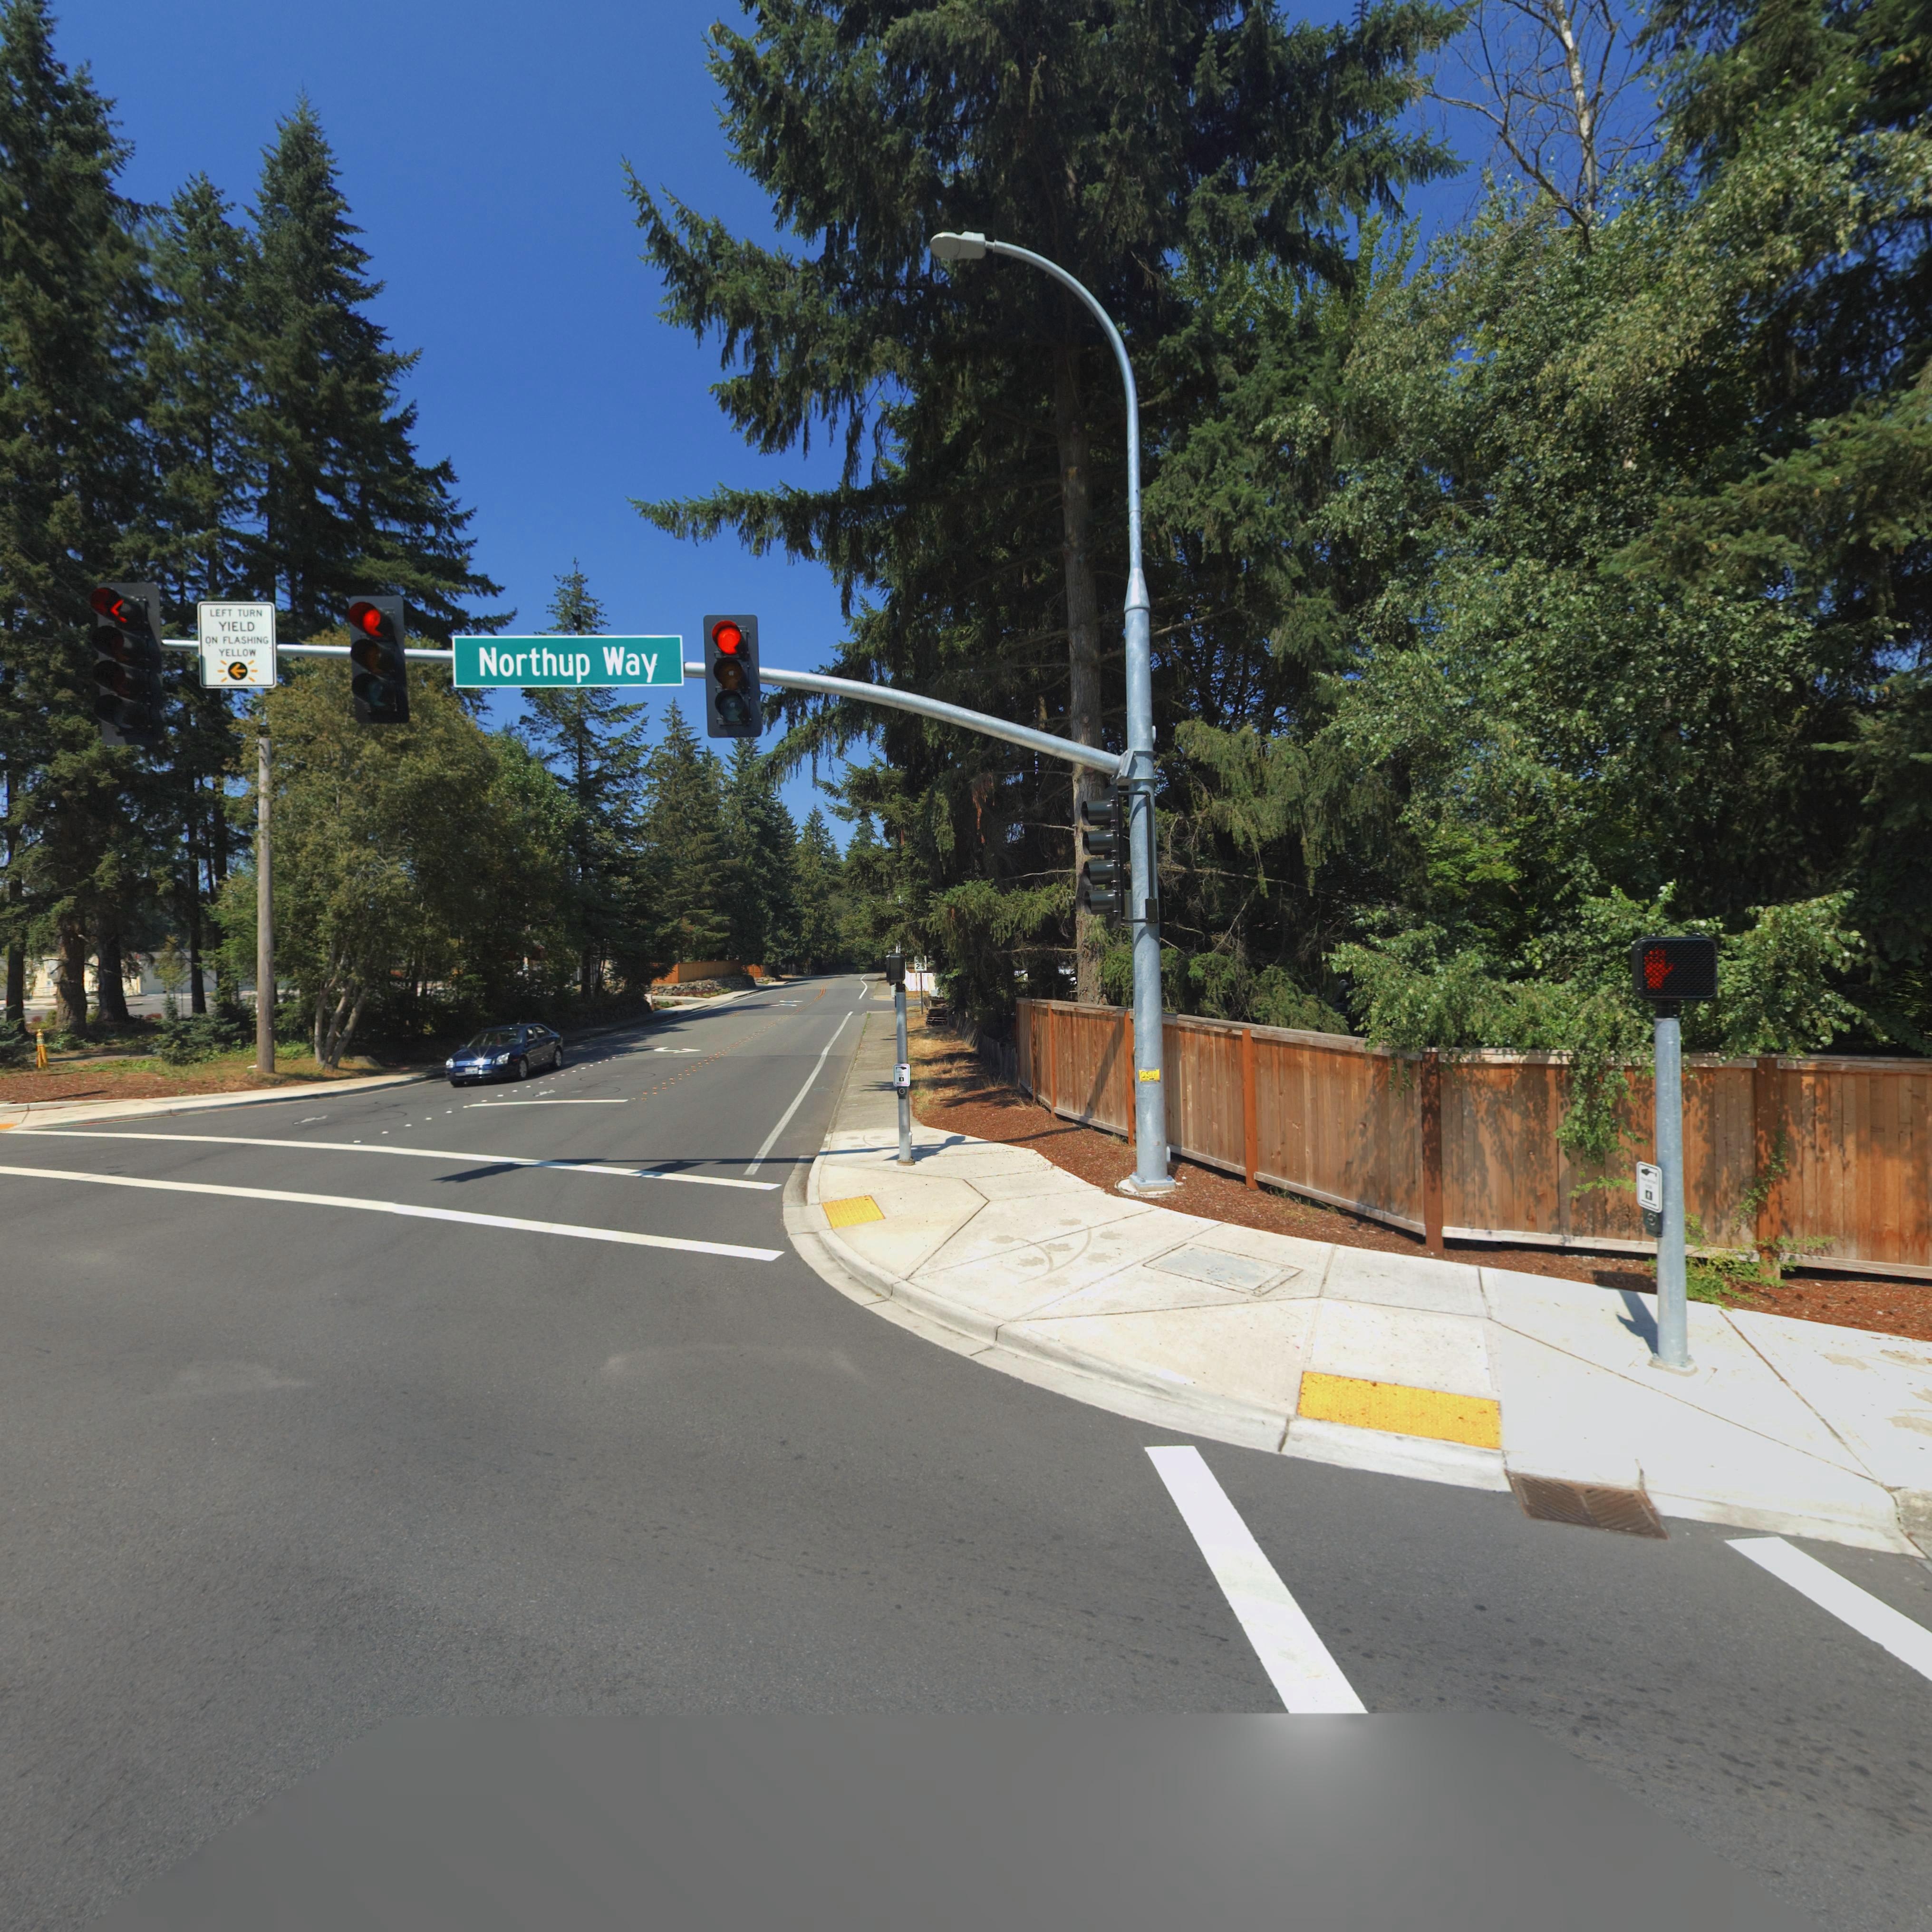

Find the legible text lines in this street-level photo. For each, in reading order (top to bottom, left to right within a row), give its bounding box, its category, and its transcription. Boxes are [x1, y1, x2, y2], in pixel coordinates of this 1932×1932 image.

[476, 643, 662, 686] StreetName: Northup Way